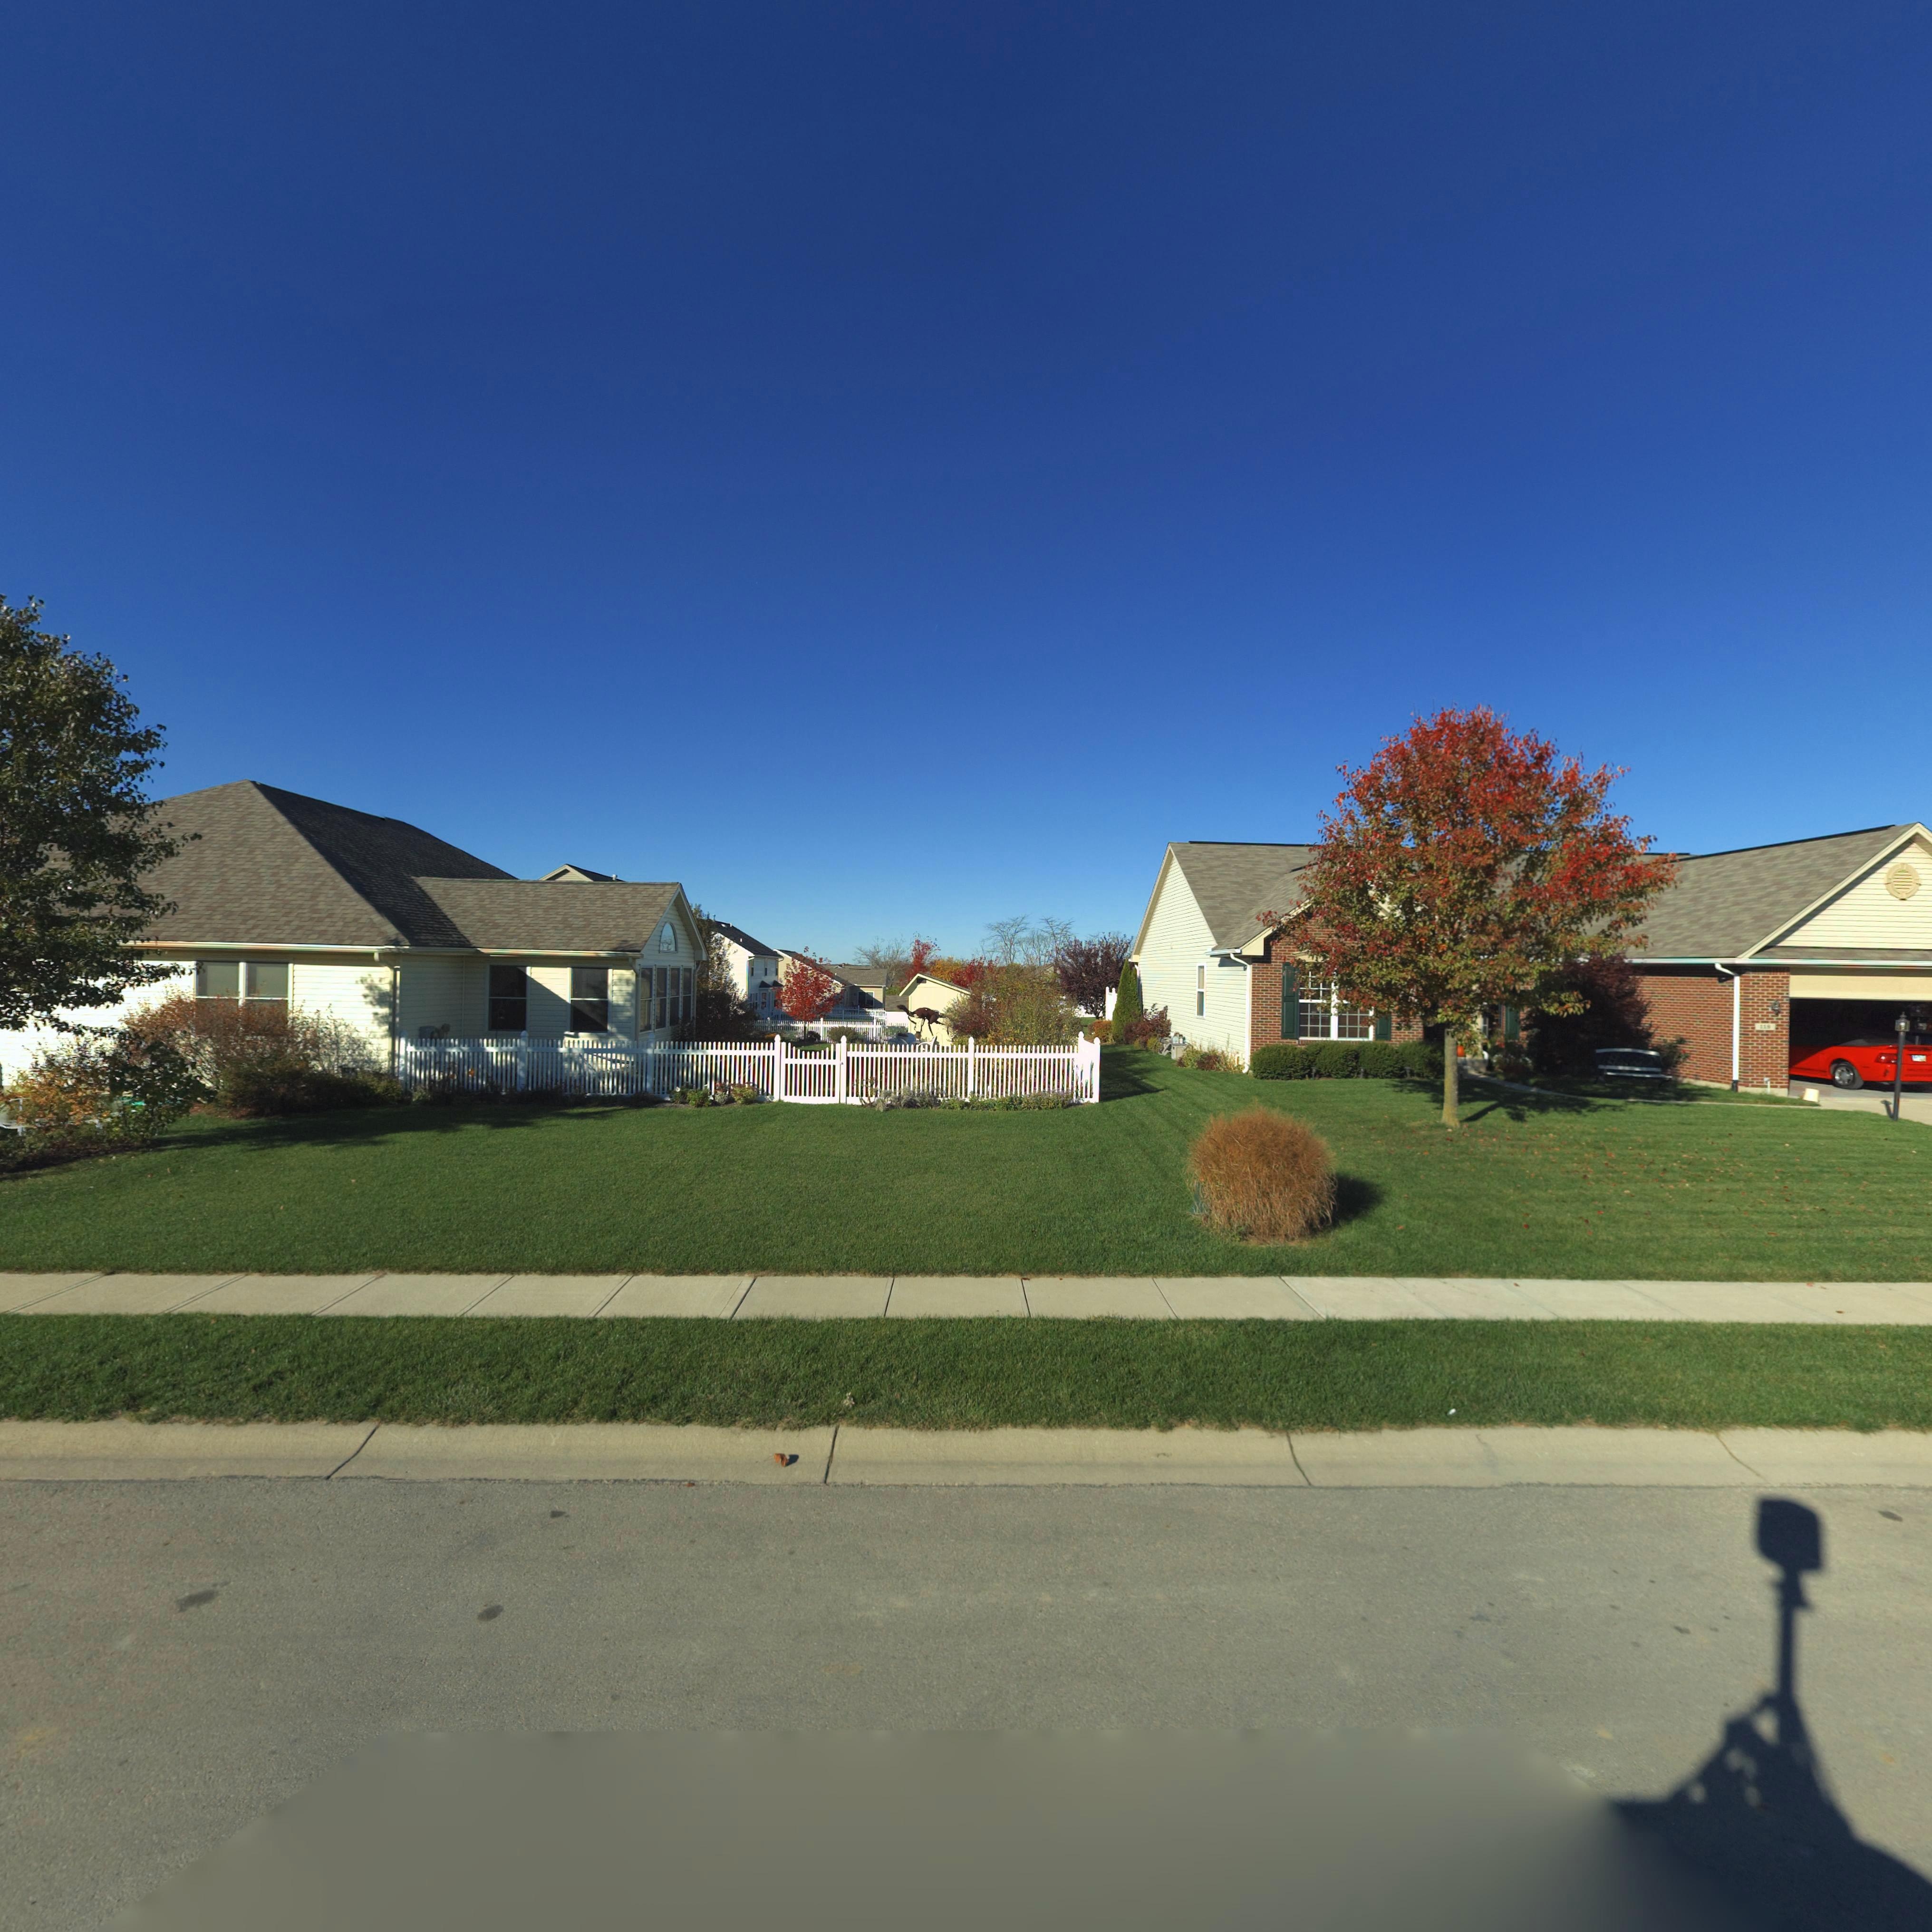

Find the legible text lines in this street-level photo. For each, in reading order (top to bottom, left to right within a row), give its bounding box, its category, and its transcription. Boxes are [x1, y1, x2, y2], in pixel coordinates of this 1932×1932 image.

[1759, 1024, 1771, 1030] StreetNumber: 118